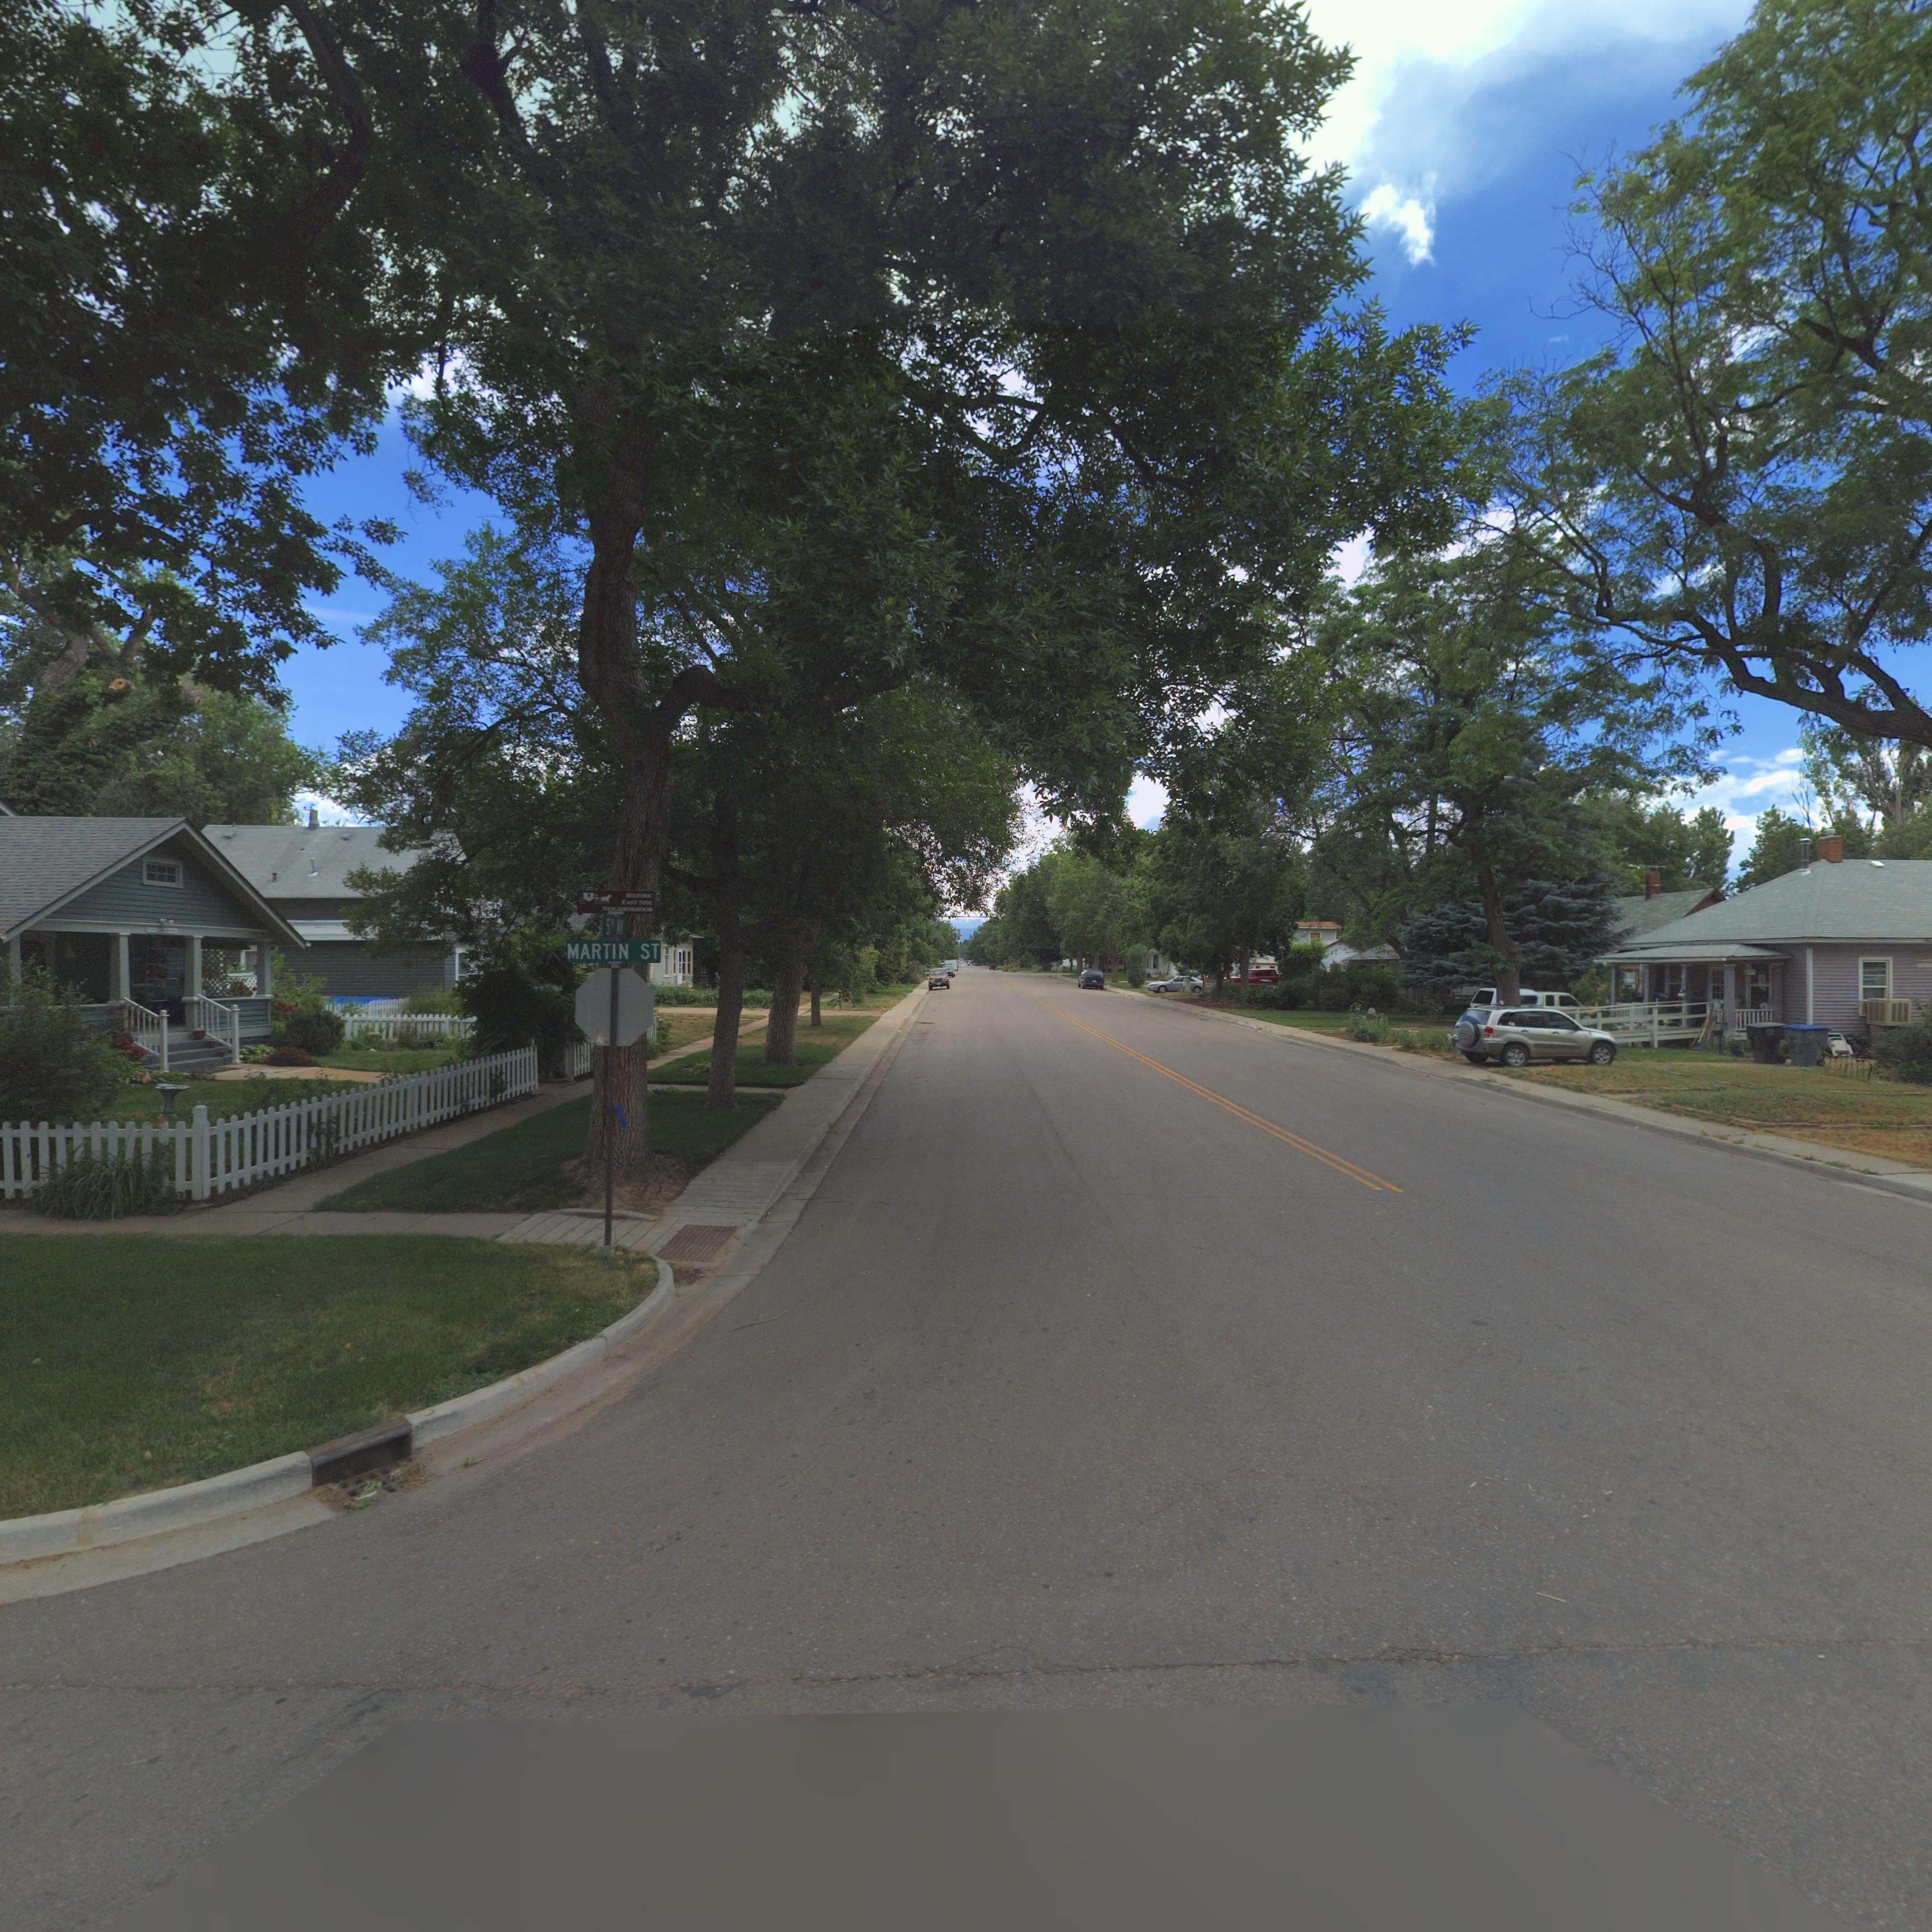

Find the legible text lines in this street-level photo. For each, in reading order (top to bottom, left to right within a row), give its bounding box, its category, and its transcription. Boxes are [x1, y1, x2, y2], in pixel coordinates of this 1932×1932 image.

[605, 918, 624, 935] StreetName: 5TH AV
[567, 943, 659, 959] StreetName: MARTIN ST